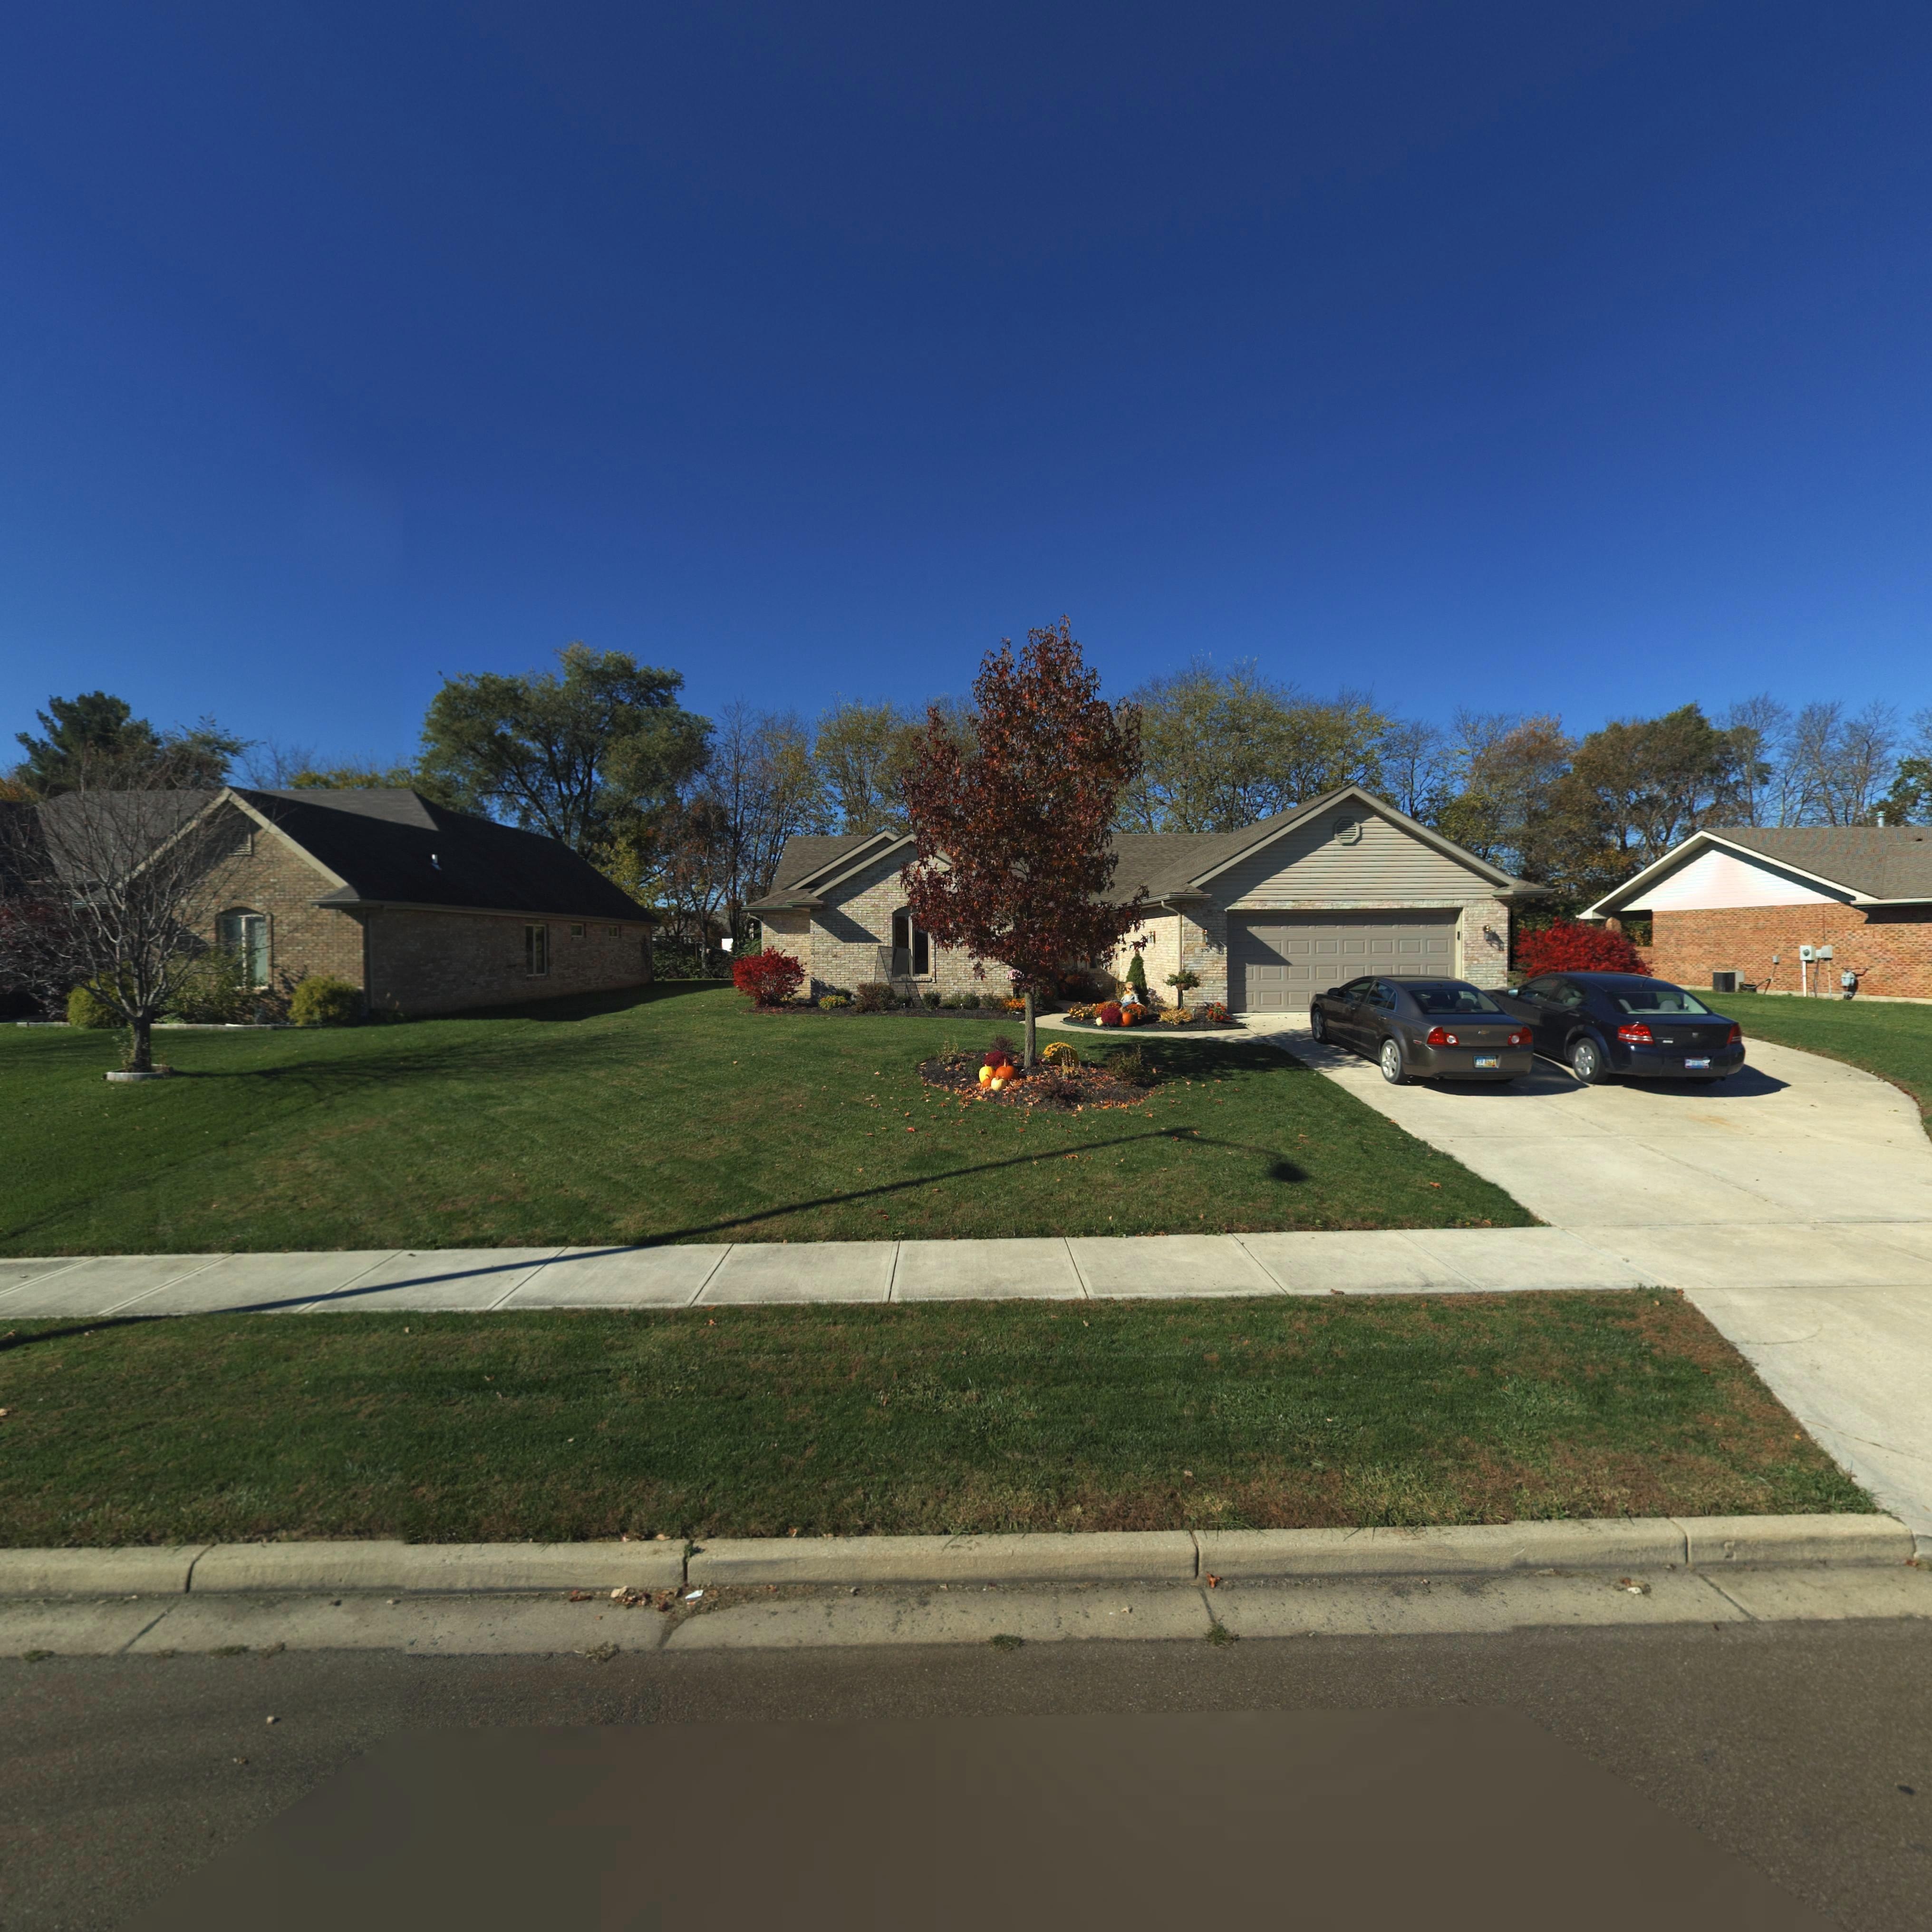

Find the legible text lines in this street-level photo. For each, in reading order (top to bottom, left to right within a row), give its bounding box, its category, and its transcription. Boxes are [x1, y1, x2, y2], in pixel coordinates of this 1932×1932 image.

[1200, 948, 1209, 953] StreetNumber: 379